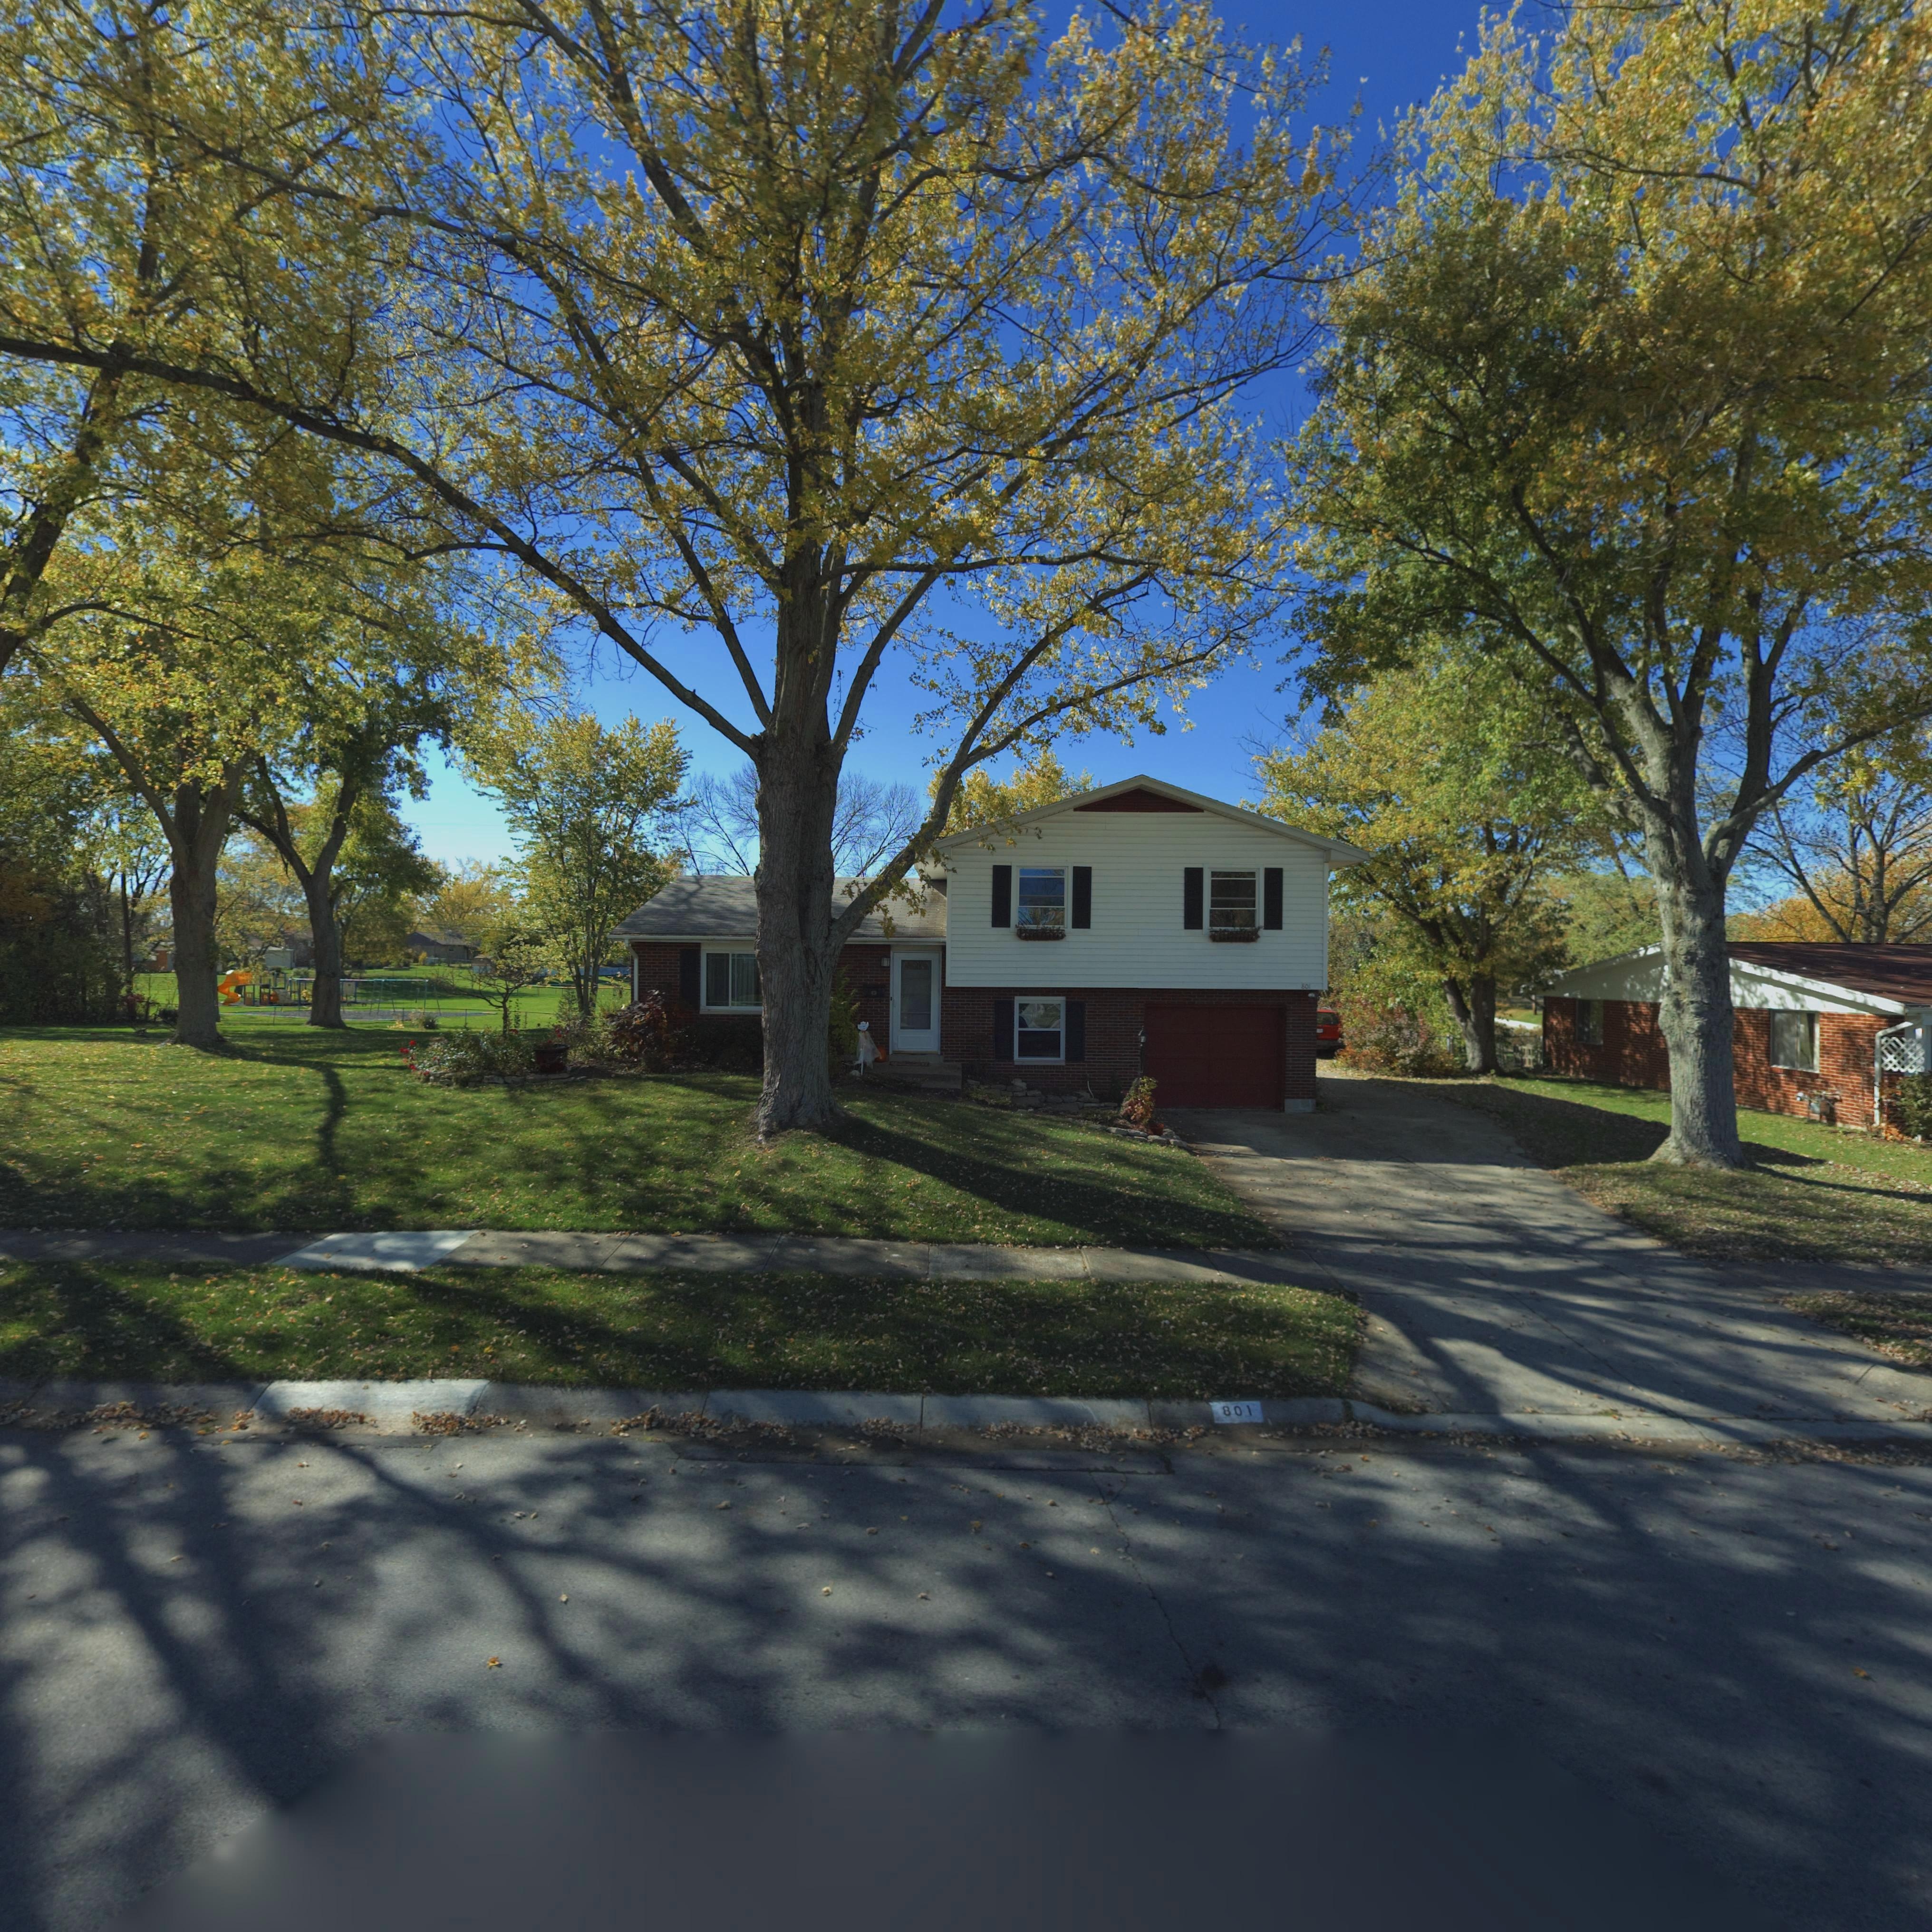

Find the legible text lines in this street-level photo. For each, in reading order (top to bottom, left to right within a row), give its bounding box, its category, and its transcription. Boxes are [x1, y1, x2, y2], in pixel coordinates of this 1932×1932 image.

[1301, 983, 1311, 990] StreetNumber: 801
[1222, 1404, 1253, 1417] StreetNumber: 801